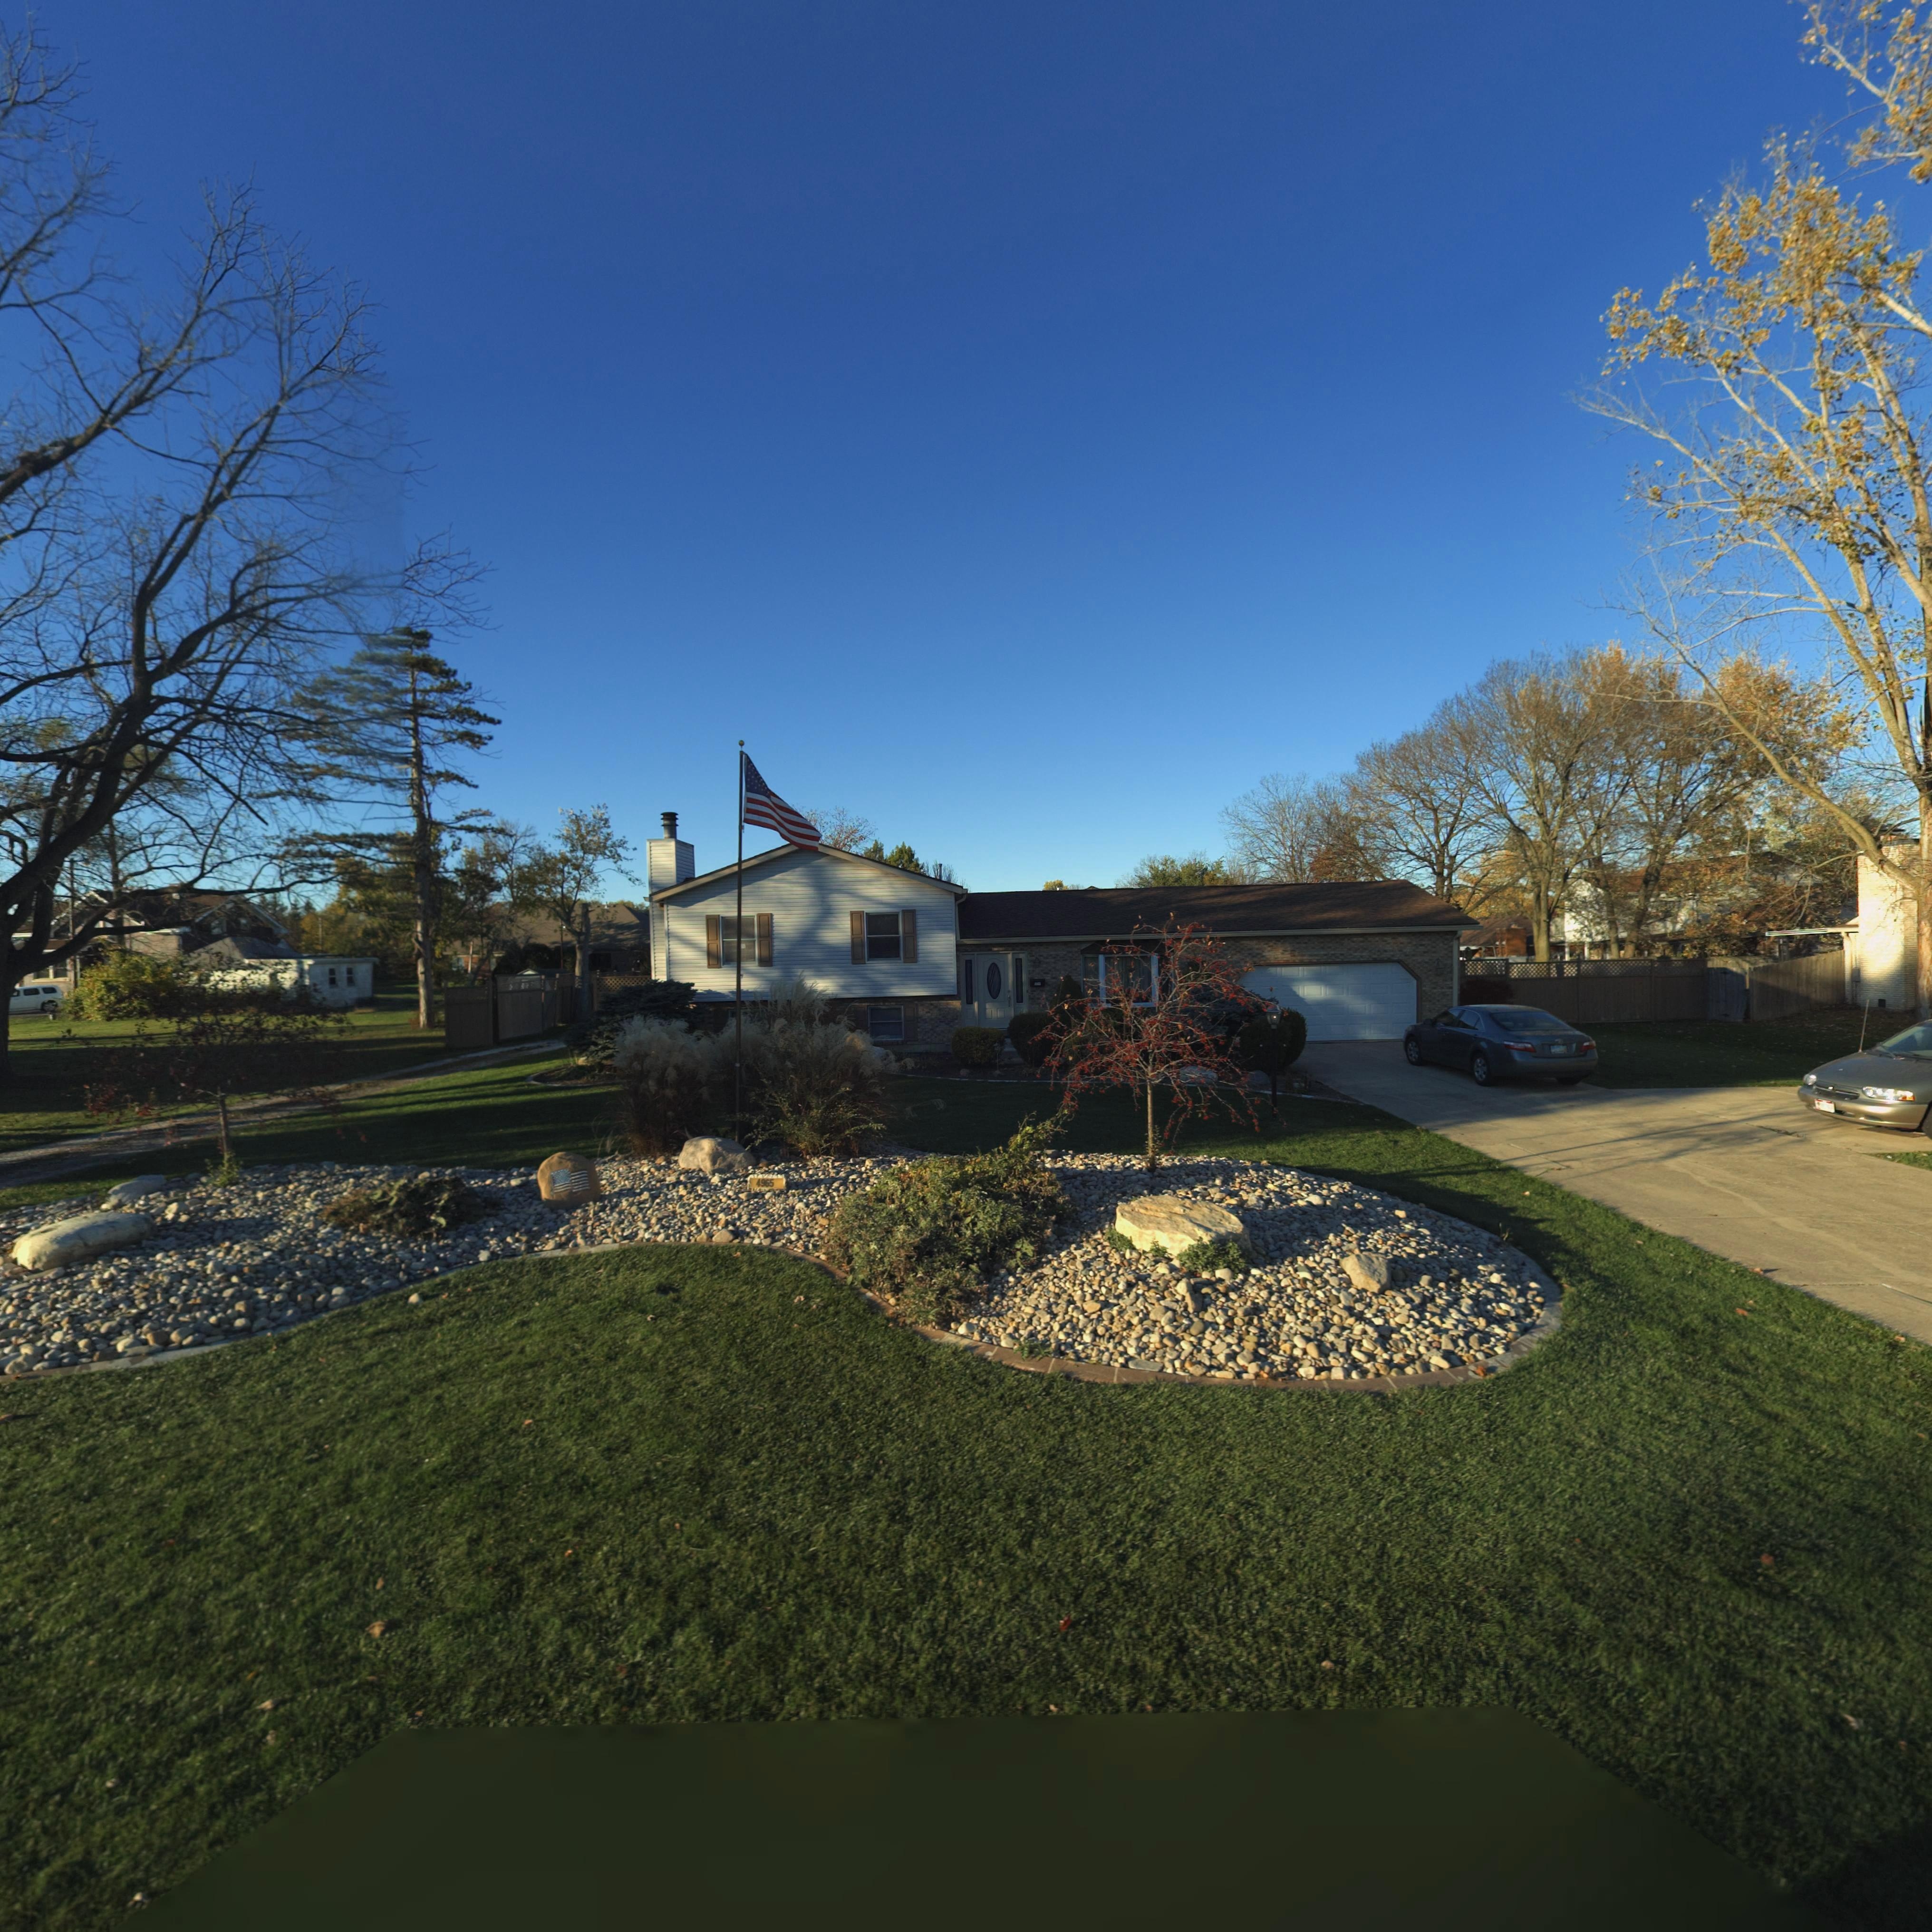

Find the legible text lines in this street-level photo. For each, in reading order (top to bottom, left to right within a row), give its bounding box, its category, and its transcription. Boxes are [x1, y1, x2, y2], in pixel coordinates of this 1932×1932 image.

[755, 1178, 775, 1188] StreetNumber: 4965